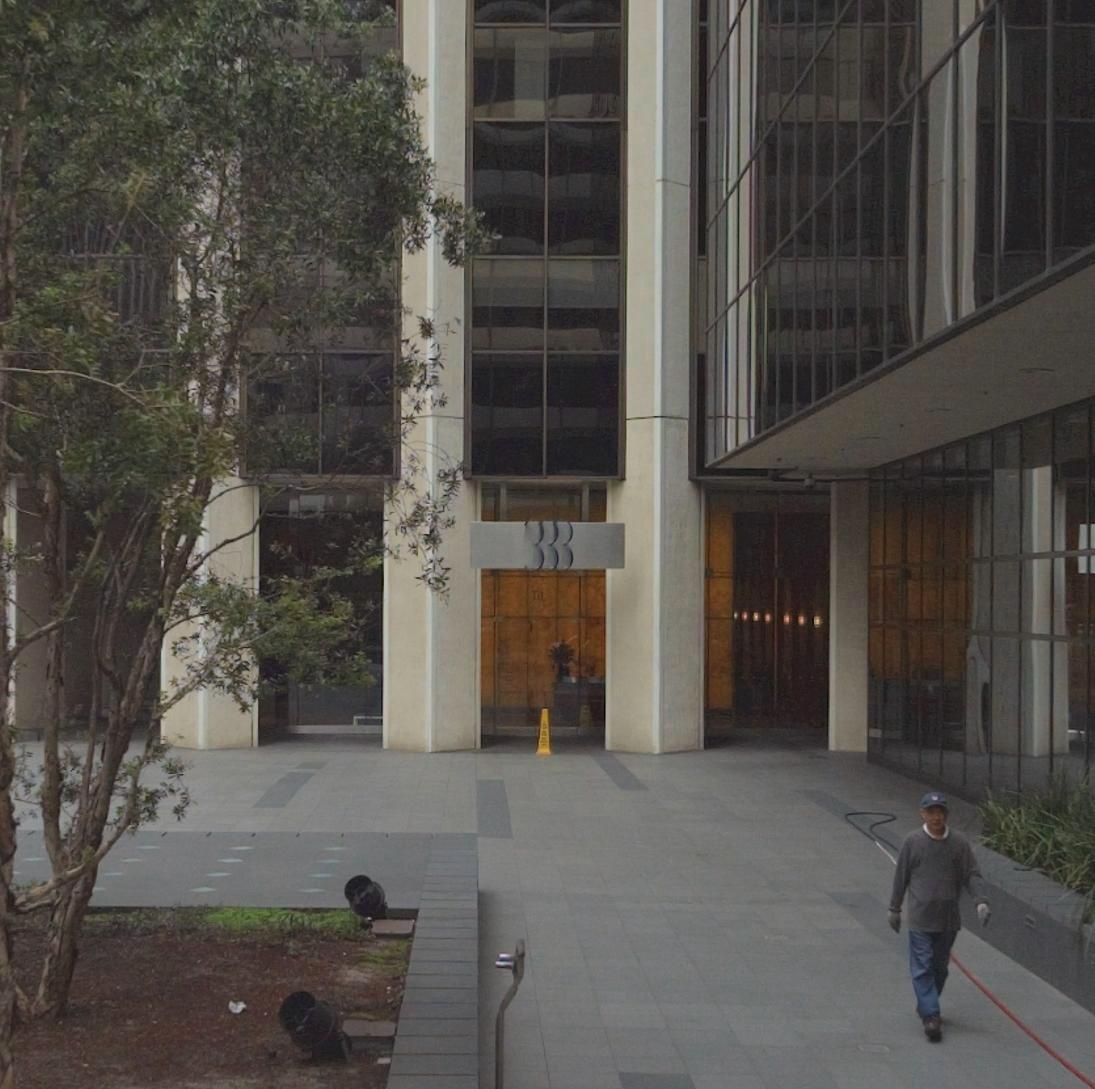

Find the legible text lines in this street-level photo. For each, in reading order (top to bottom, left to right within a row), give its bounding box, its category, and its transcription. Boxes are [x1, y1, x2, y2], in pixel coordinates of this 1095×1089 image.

[521, 518, 576, 575] StreetNumber: 333